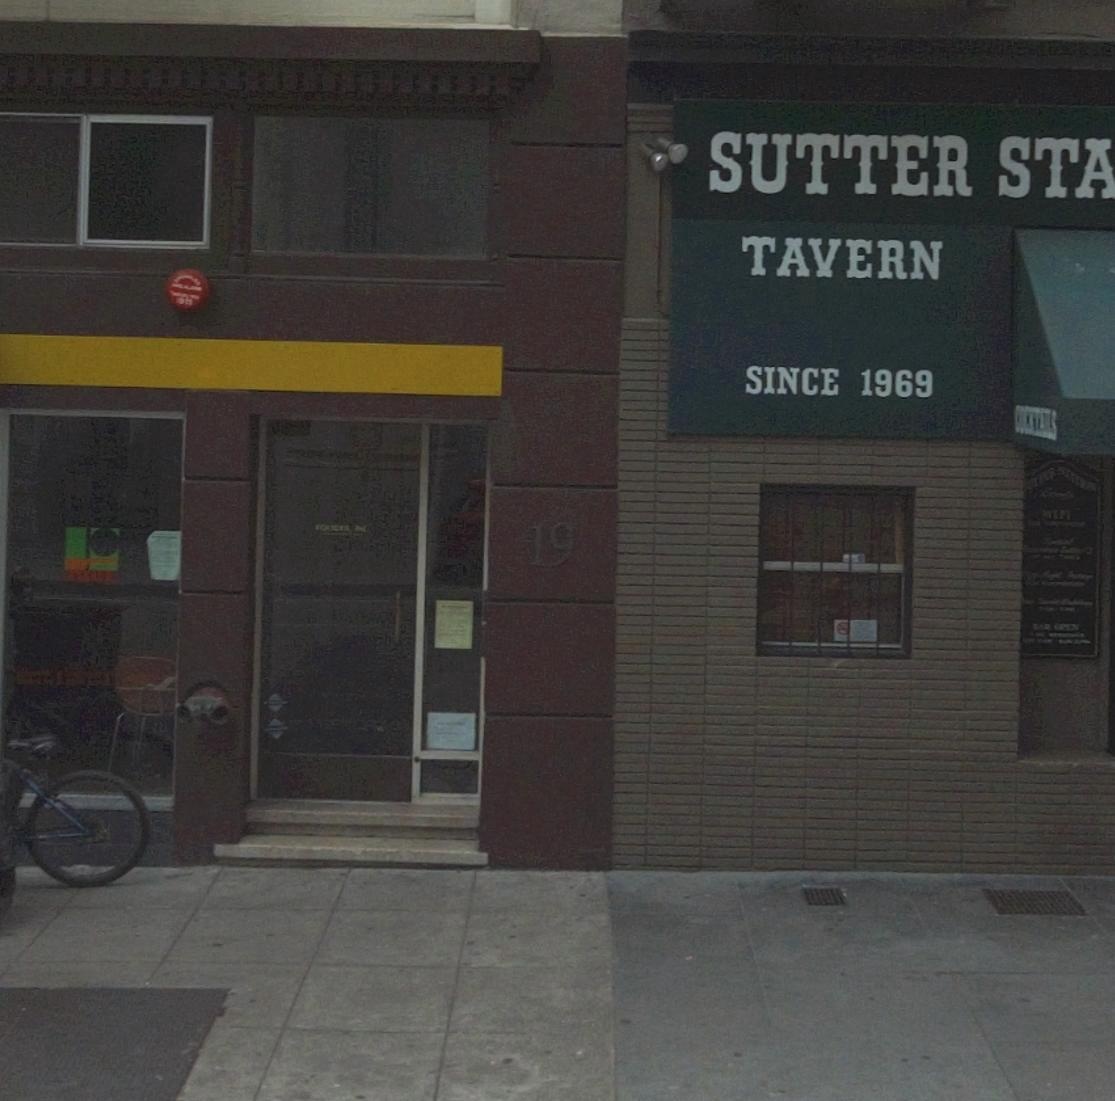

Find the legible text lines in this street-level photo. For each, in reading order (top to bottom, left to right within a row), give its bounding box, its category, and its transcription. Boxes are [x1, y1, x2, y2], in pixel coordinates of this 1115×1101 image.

[707, 127, 1083, 201] BusinessName: SUTTER ST
[739, 233, 946, 282] BusinessName: TAVERN
[742, 362, 937, 400] None: SINCE 1969
[527, 520, 576, 568] StreetNumber: 19